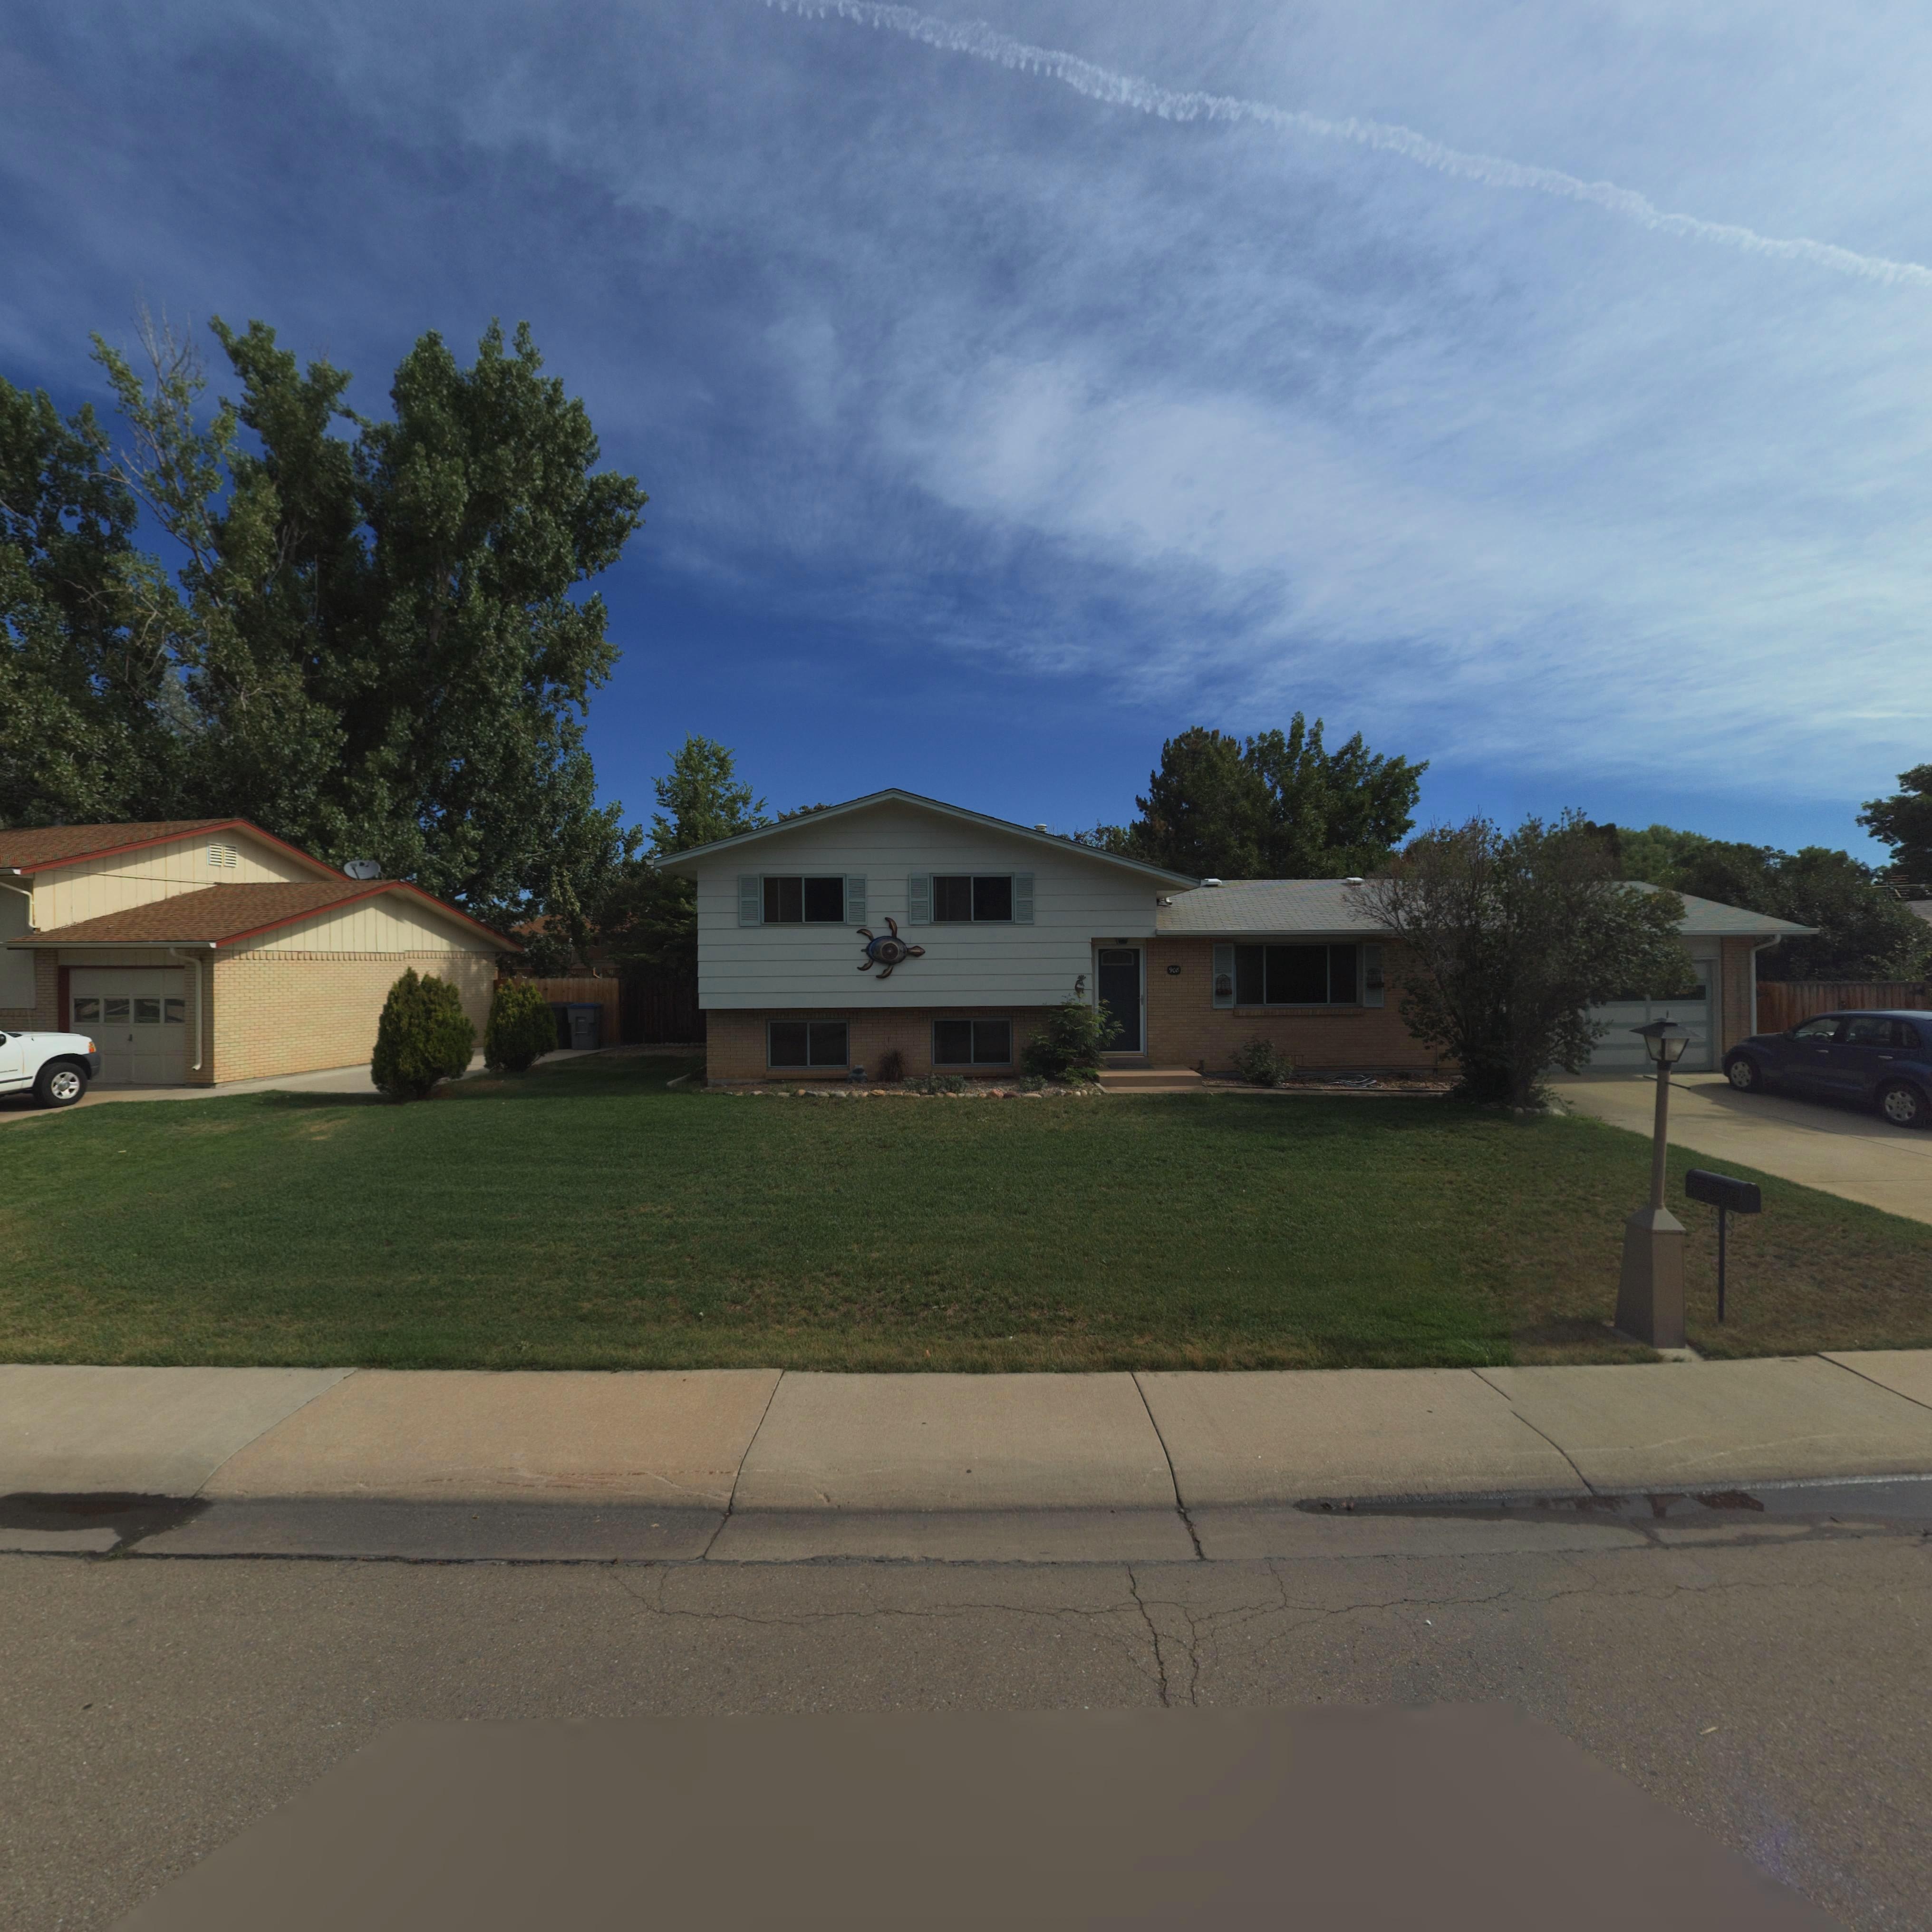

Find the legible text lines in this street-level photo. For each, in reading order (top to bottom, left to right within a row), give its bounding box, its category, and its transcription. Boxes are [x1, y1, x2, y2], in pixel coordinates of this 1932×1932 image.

[1169, 966, 1180, 973] StreetNumber: 908